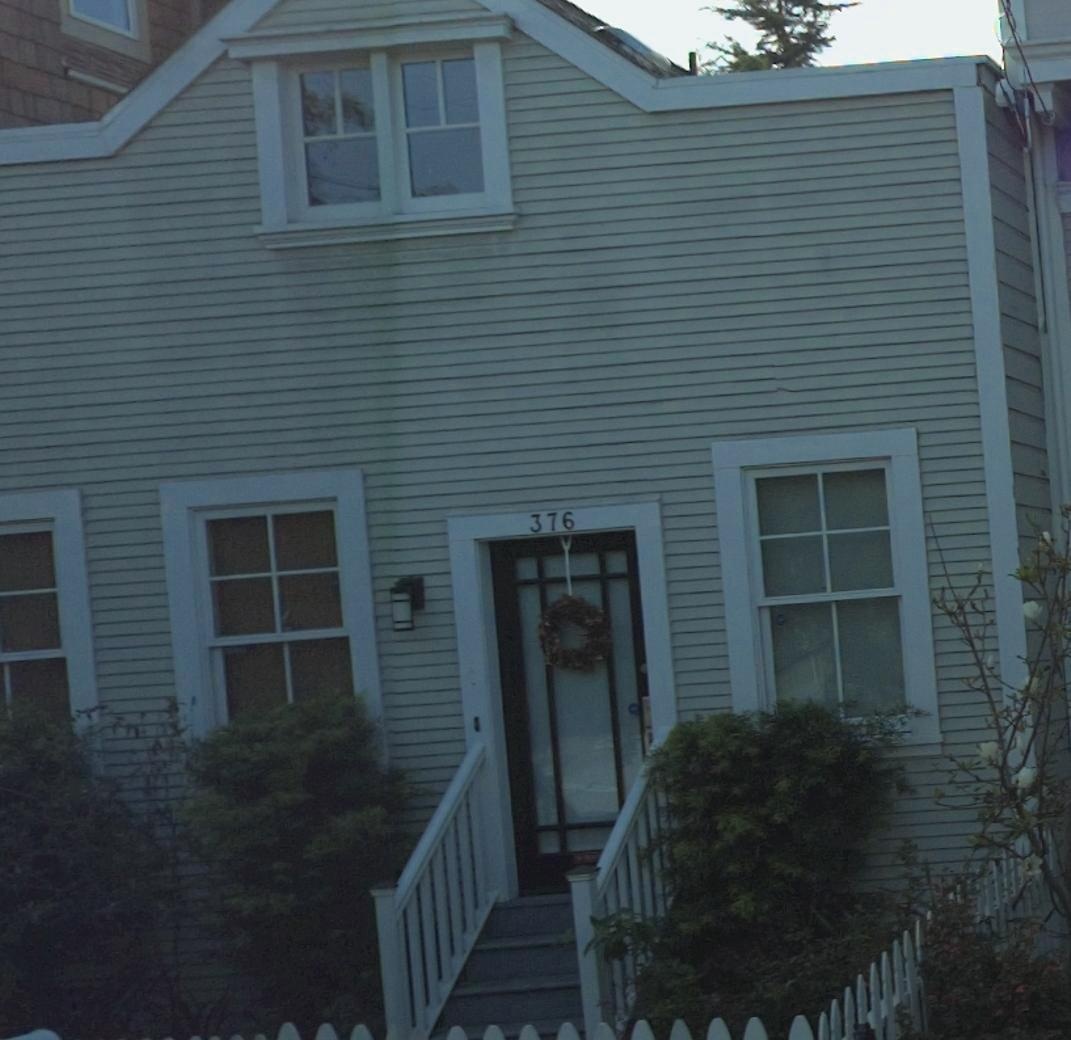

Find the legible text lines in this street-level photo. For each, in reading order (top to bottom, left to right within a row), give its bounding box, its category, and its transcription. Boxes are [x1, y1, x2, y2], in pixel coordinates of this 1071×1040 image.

[529, 510, 576, 534] StreetNumber: 376